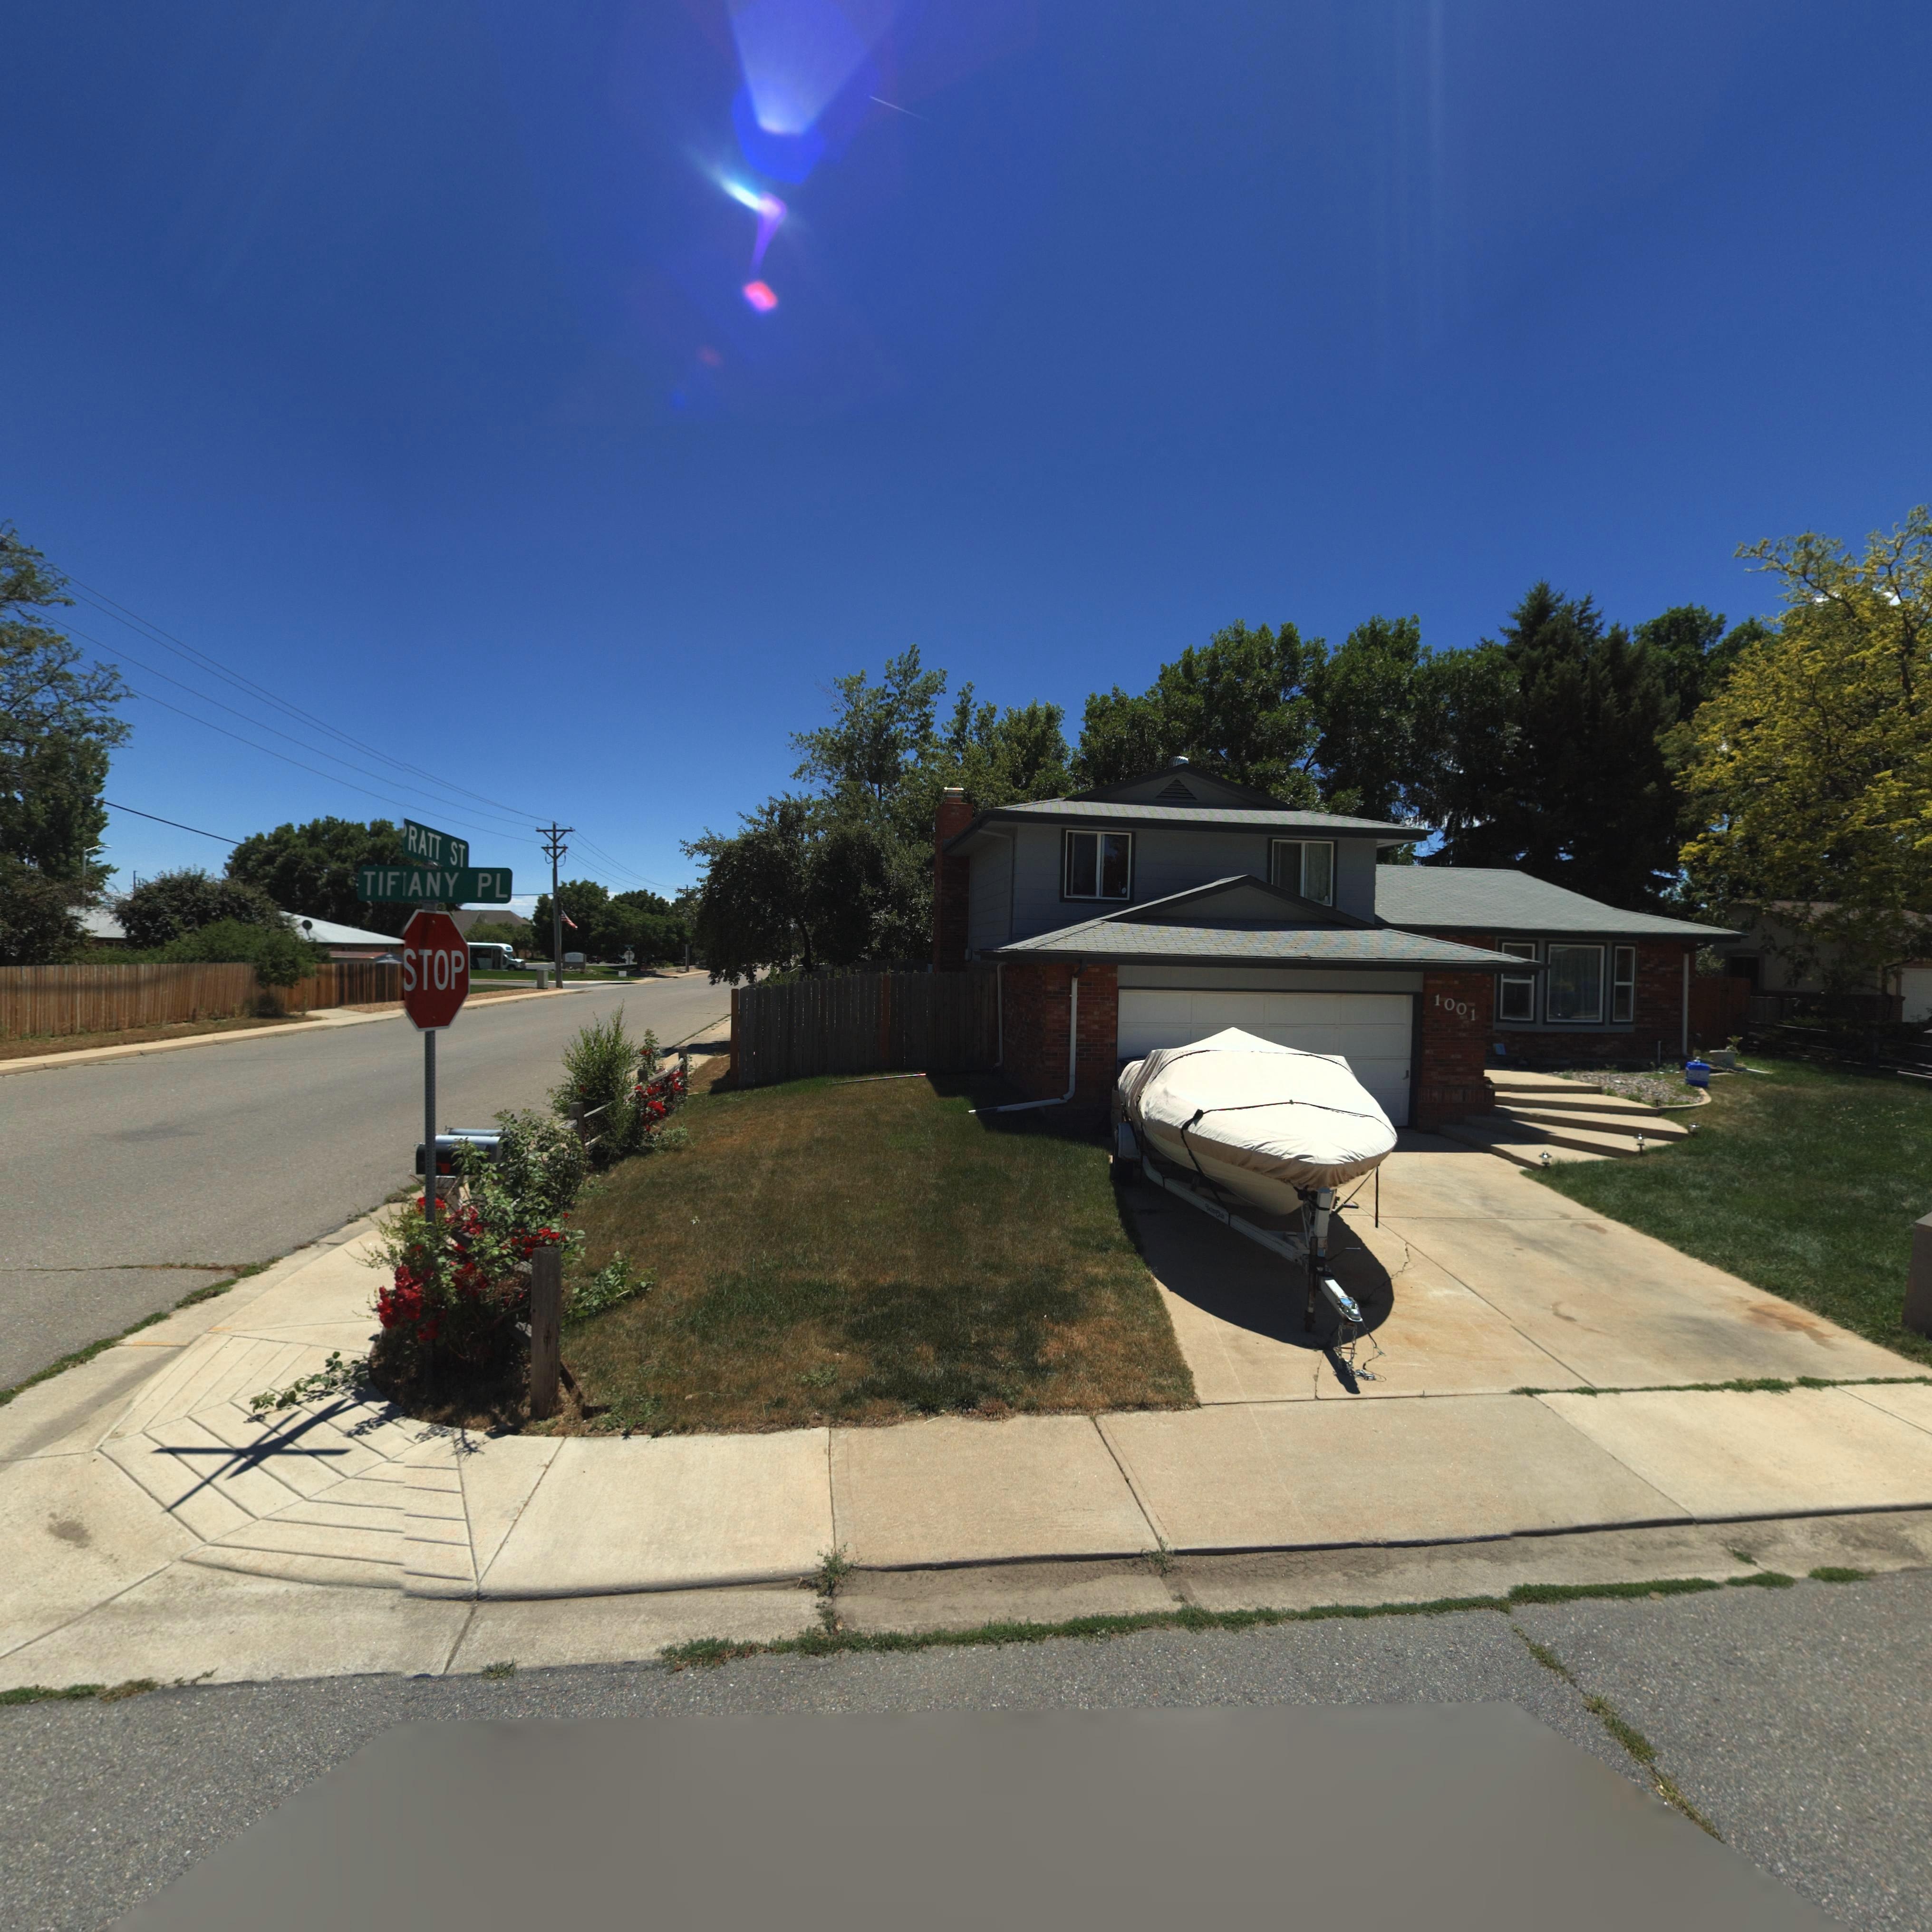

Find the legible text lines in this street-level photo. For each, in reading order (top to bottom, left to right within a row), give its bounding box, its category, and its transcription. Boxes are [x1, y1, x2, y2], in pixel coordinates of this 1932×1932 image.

[407, 823, 466, 868] StreetName: RATT ST
[362, 870, 509, 898] StreetName: TIF*ANY PL
[1434, 993, 1476, 1021] StreetNumber: 1001